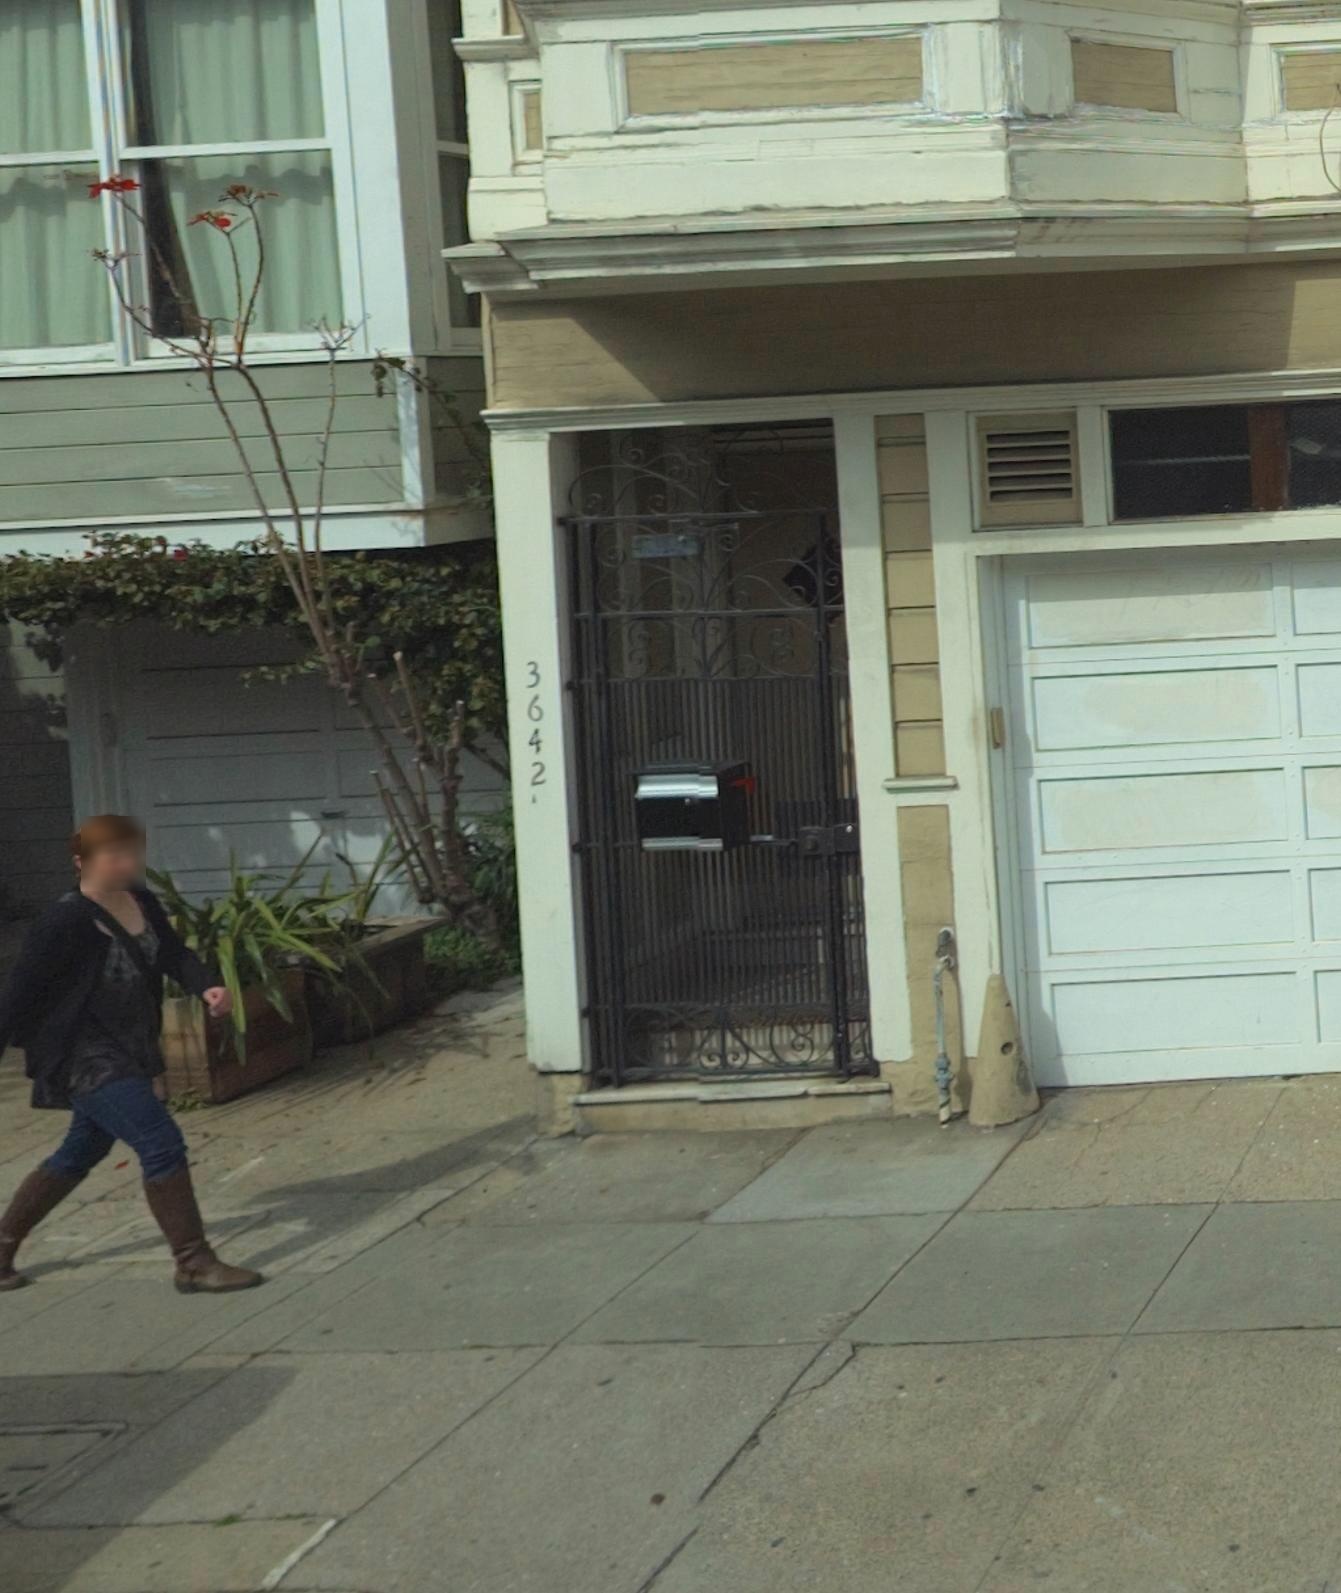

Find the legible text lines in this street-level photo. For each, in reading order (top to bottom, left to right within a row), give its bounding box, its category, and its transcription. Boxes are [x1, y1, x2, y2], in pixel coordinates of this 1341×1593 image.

[525, 660, 548, 790] StreetNumber: 3642